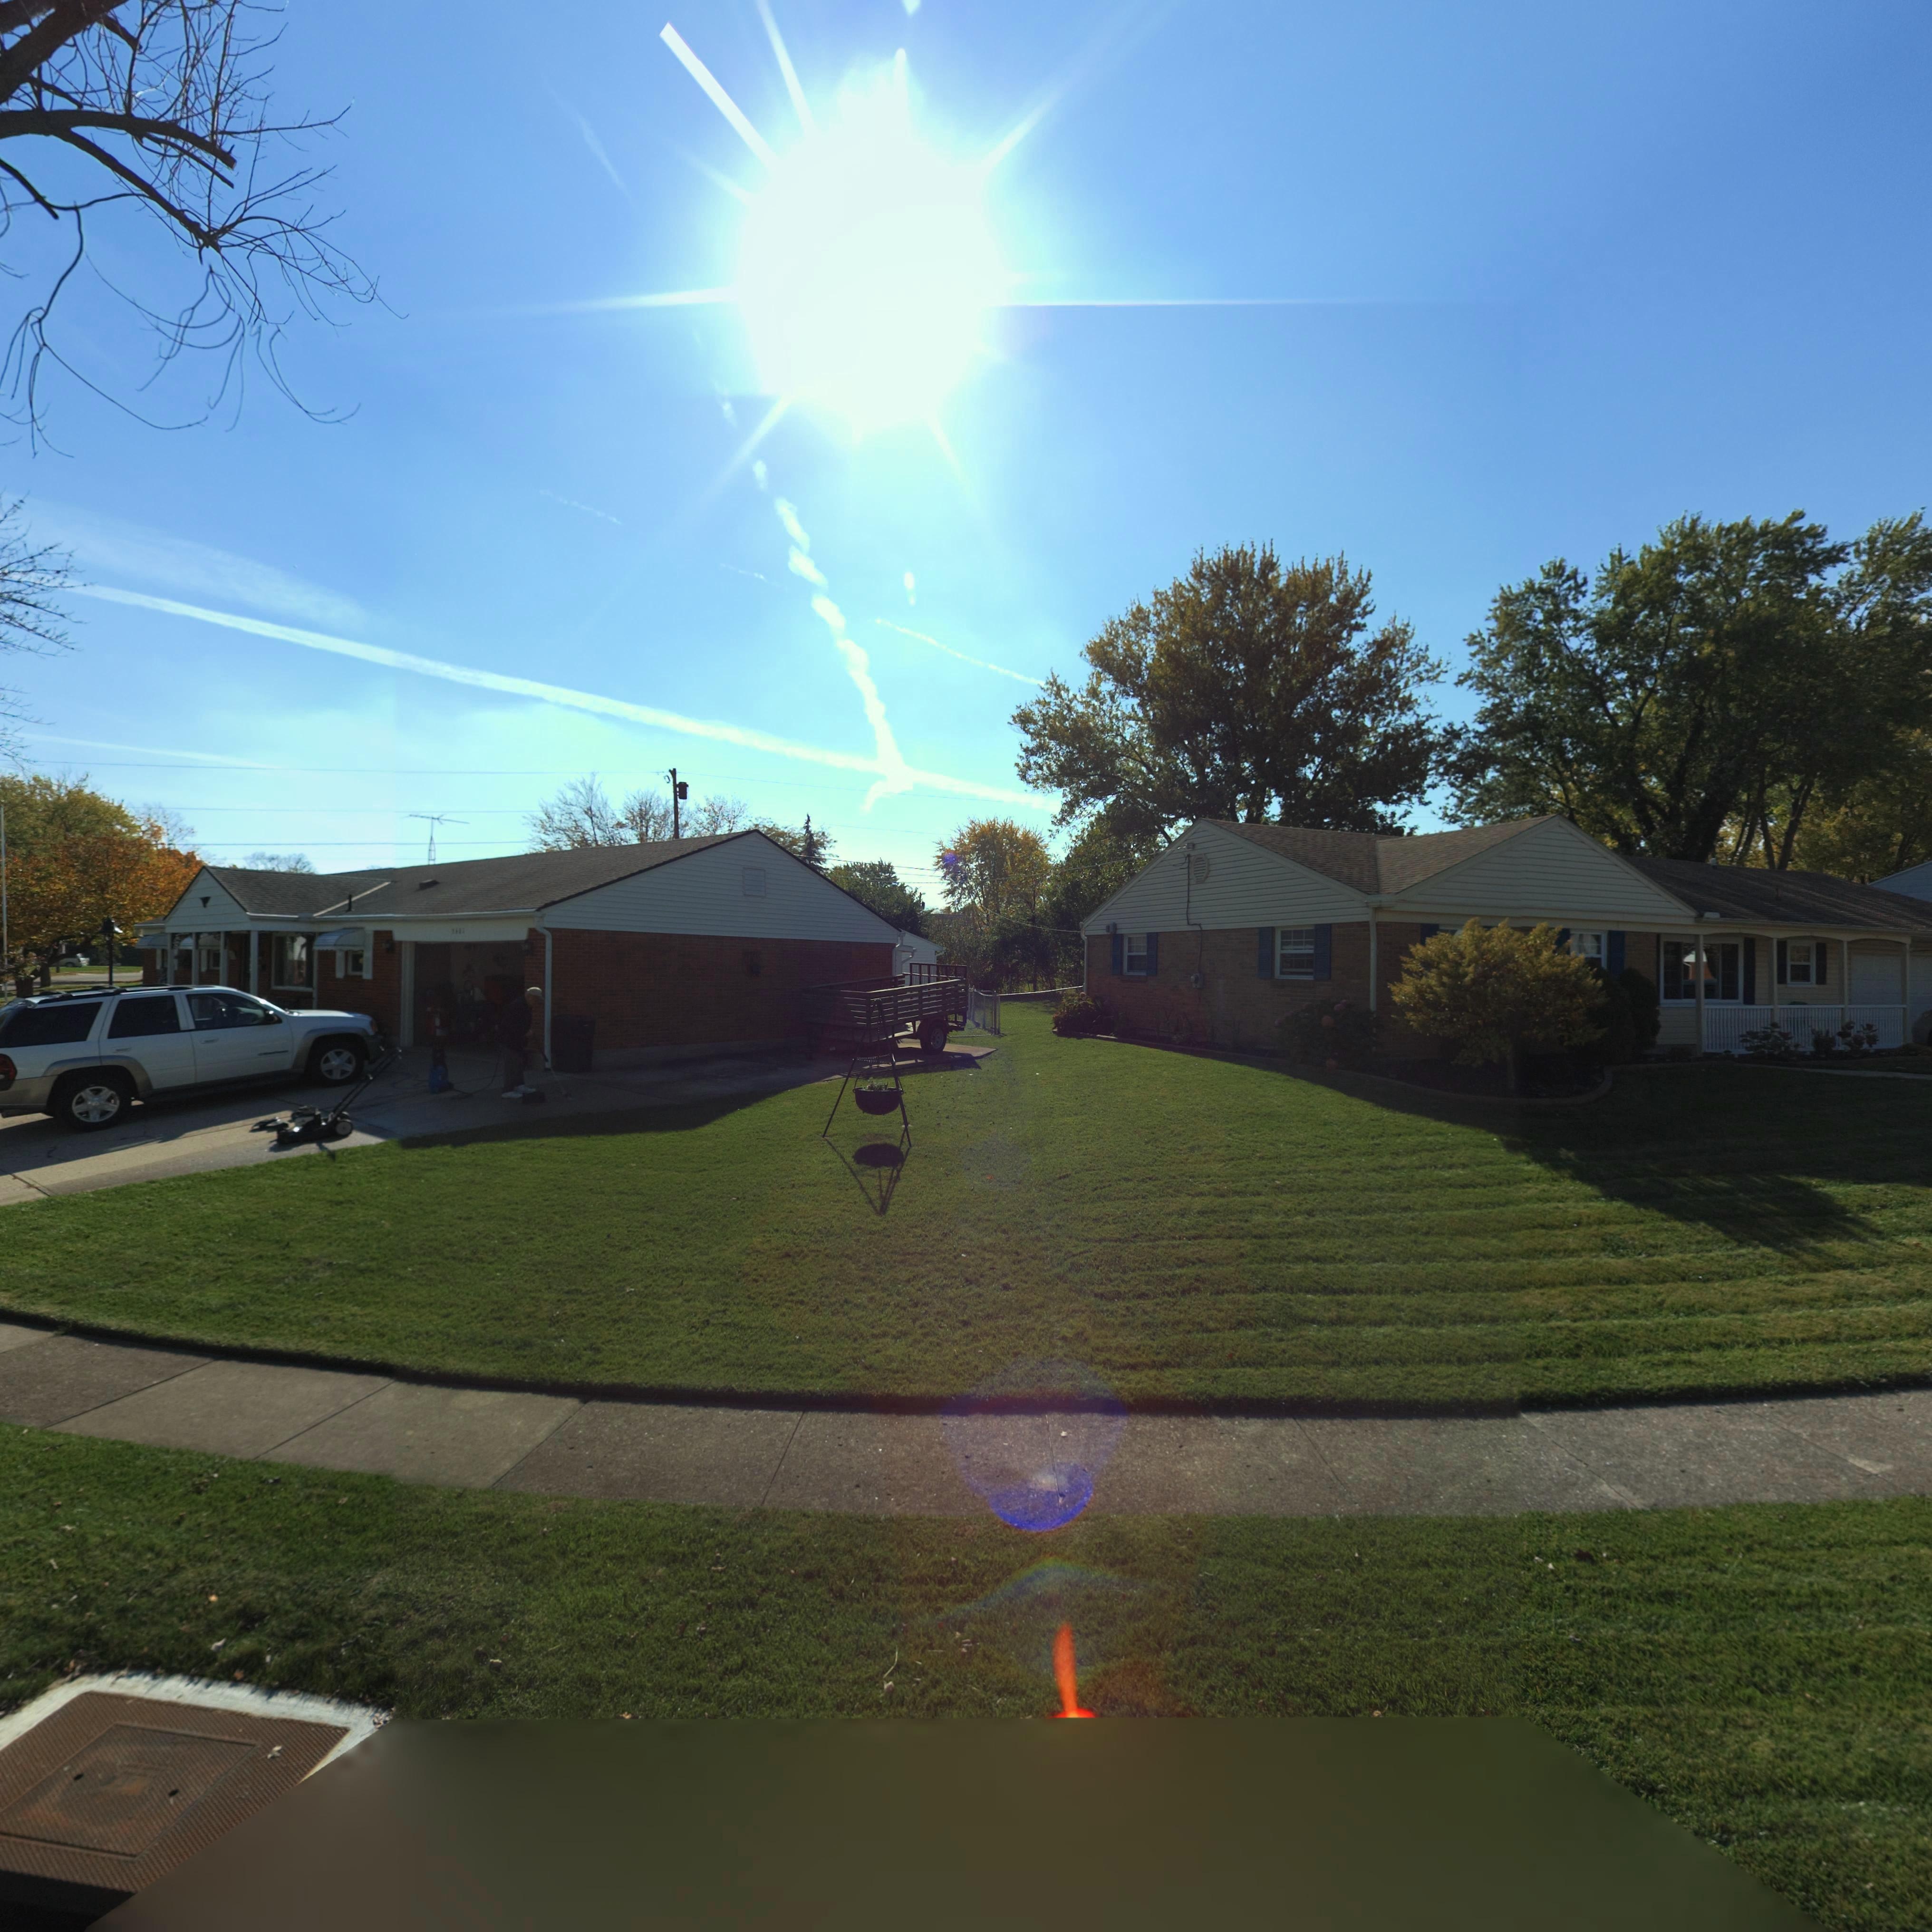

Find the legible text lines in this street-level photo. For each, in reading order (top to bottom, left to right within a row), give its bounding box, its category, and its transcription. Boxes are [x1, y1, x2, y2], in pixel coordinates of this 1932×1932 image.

[451, 927, 464, 934] StreetNumber: 3601